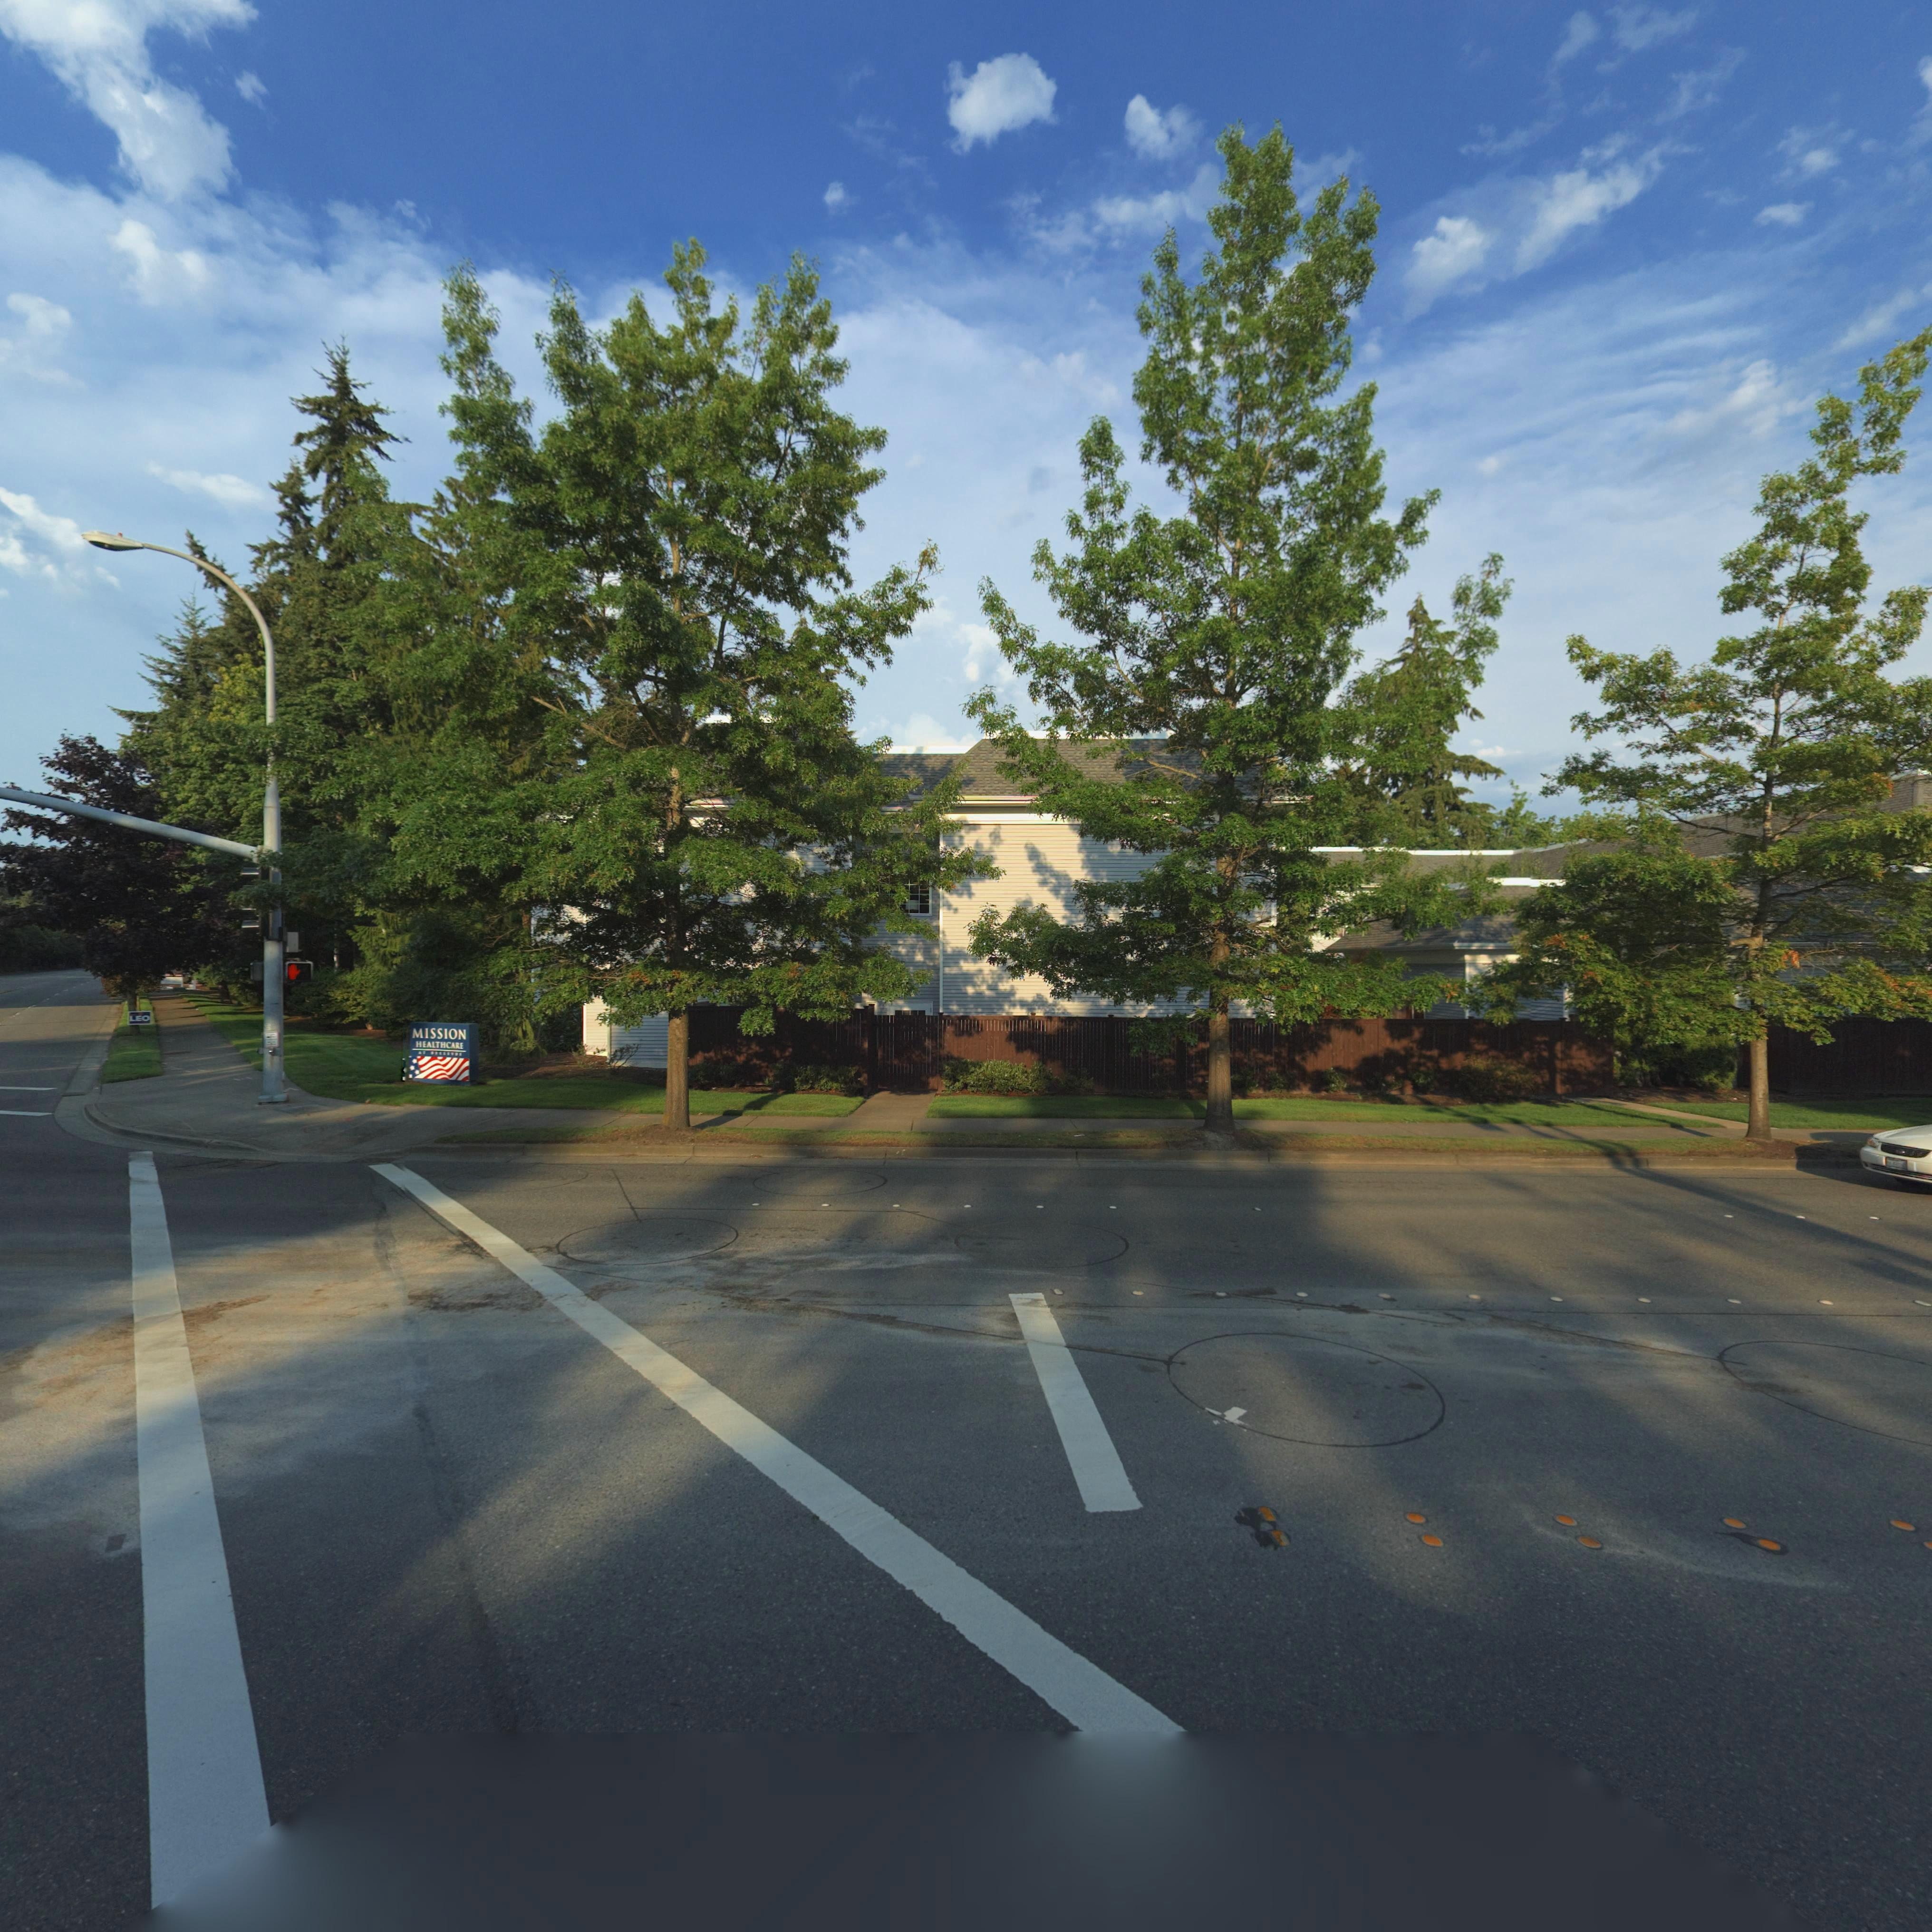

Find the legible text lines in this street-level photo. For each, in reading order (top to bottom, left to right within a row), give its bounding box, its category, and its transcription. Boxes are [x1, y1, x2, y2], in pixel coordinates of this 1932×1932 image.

[412, 1027, 467, 1039] BusinessName: MISSION
[415, 1040, 465, 1049] BusinessName: HEALTHCARE